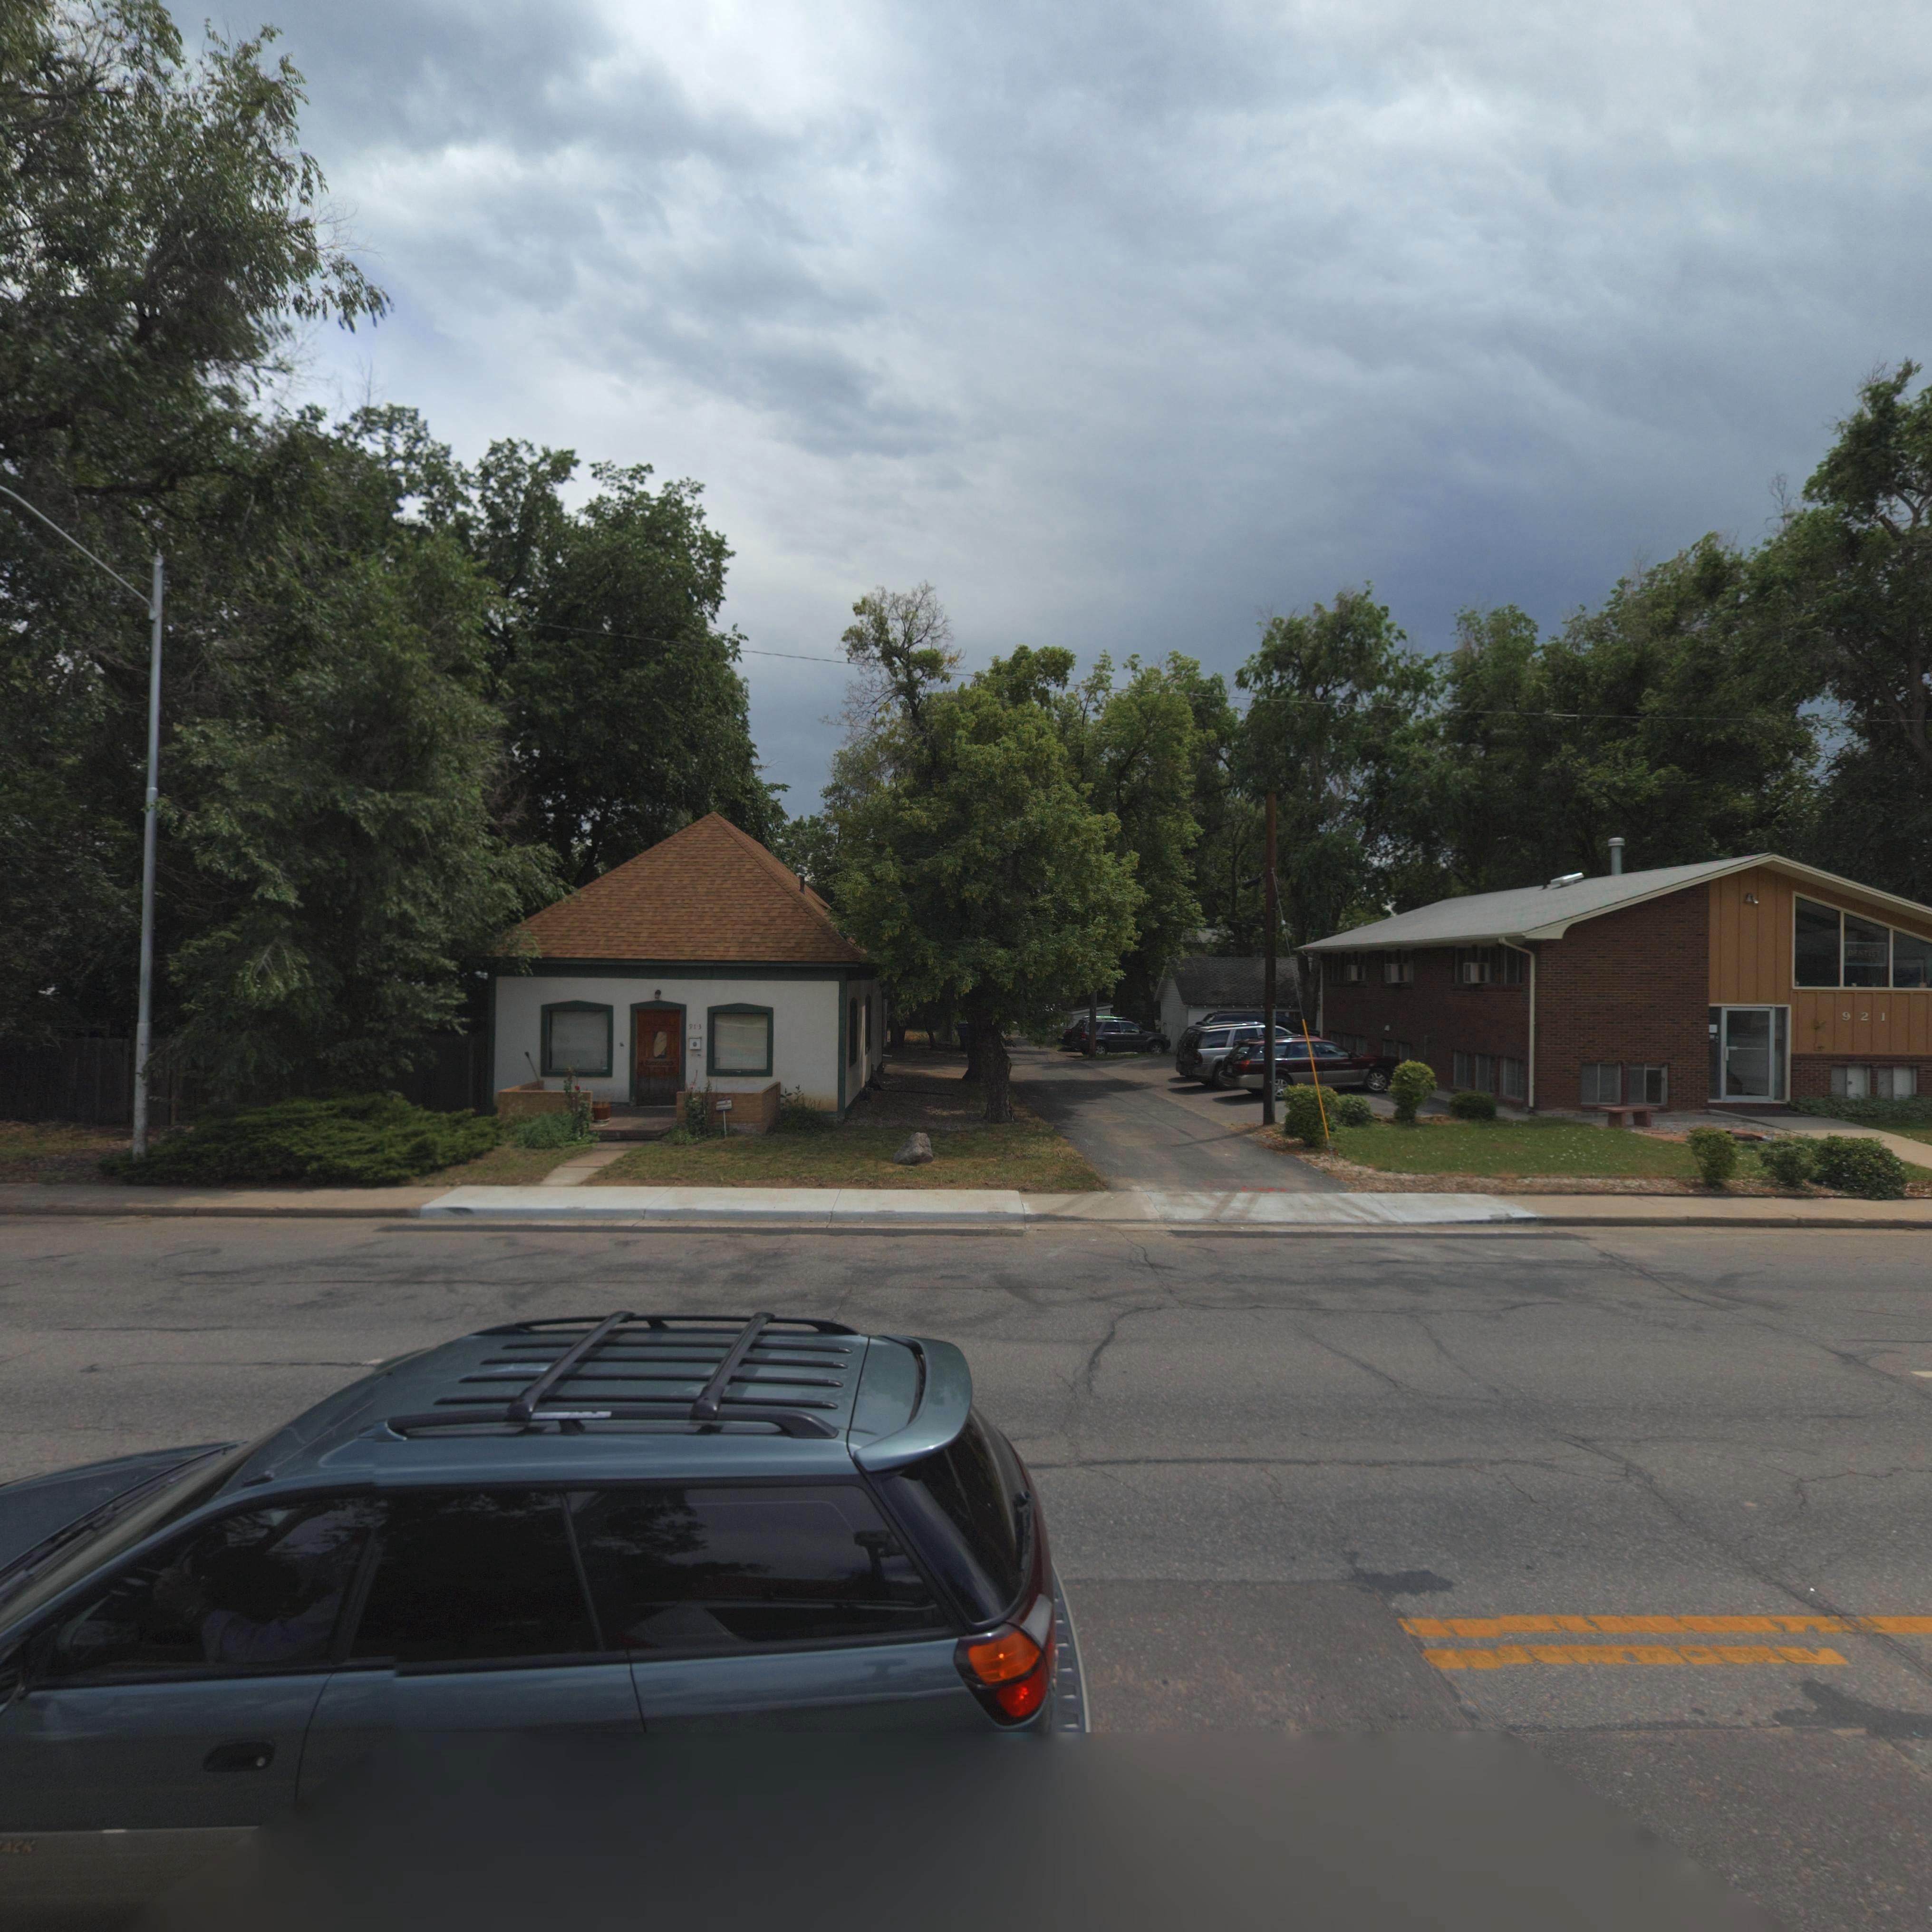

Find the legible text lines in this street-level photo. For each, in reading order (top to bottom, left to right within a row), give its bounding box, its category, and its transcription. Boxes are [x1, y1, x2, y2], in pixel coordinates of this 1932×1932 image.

[1841, 1011, 1885, 1021] StreetNumber: 921
[689, 1023, 701, 1030] StreetNumber: 913